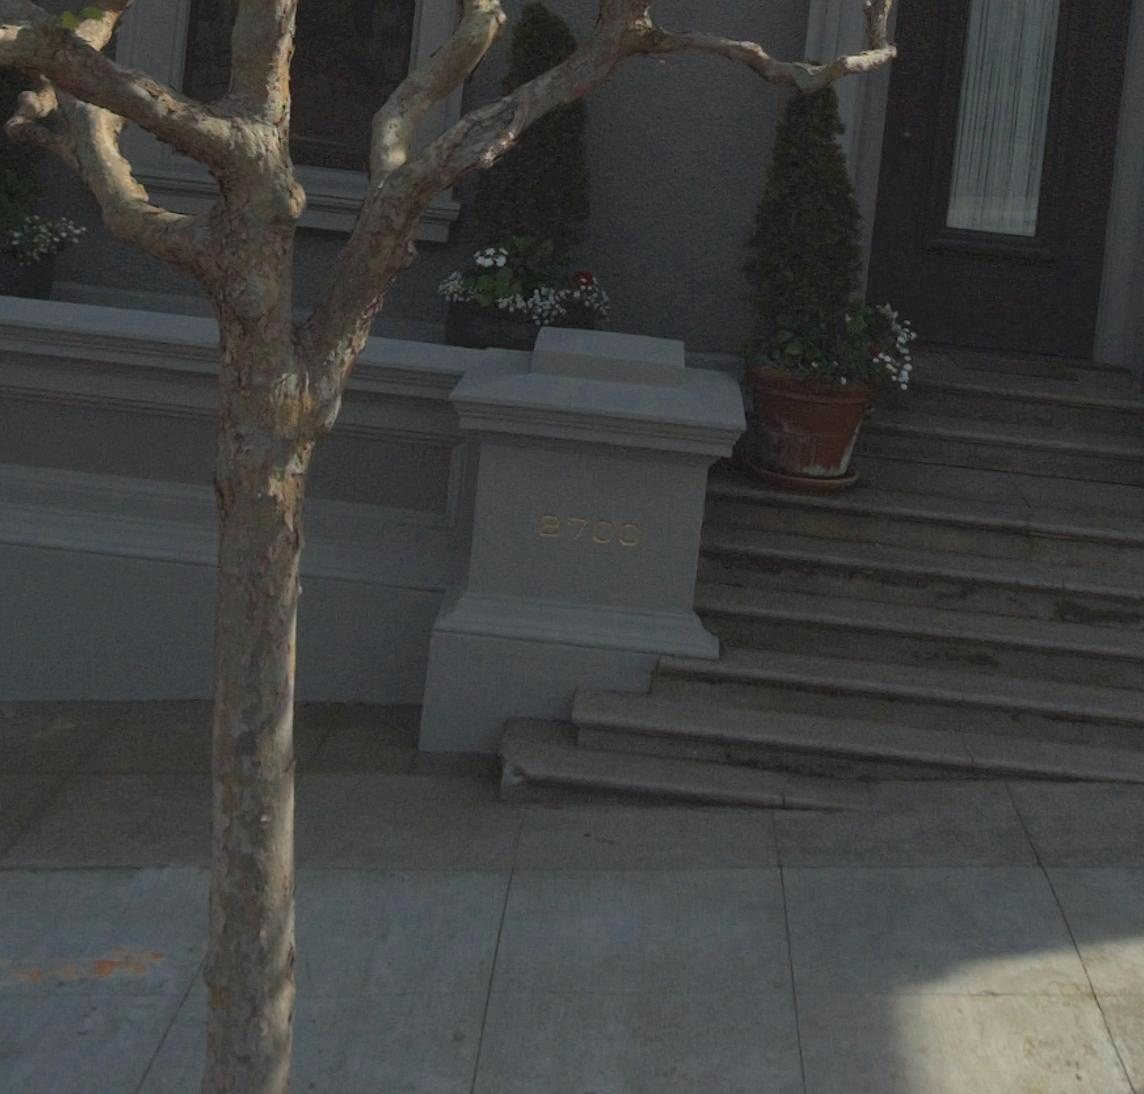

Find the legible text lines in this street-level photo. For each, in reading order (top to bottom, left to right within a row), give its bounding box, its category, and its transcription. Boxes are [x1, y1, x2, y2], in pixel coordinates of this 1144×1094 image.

[536, 511, 643, 550] StreetNumber: 2700